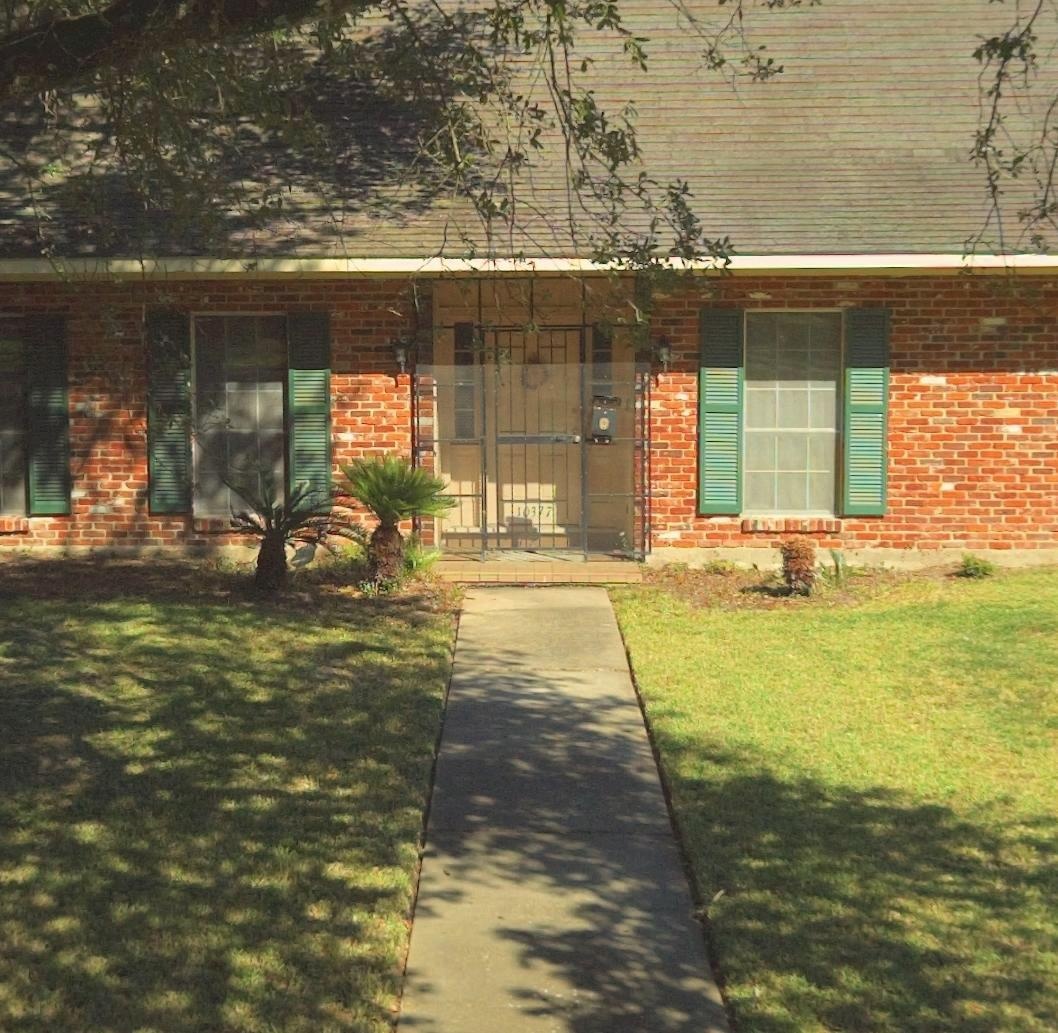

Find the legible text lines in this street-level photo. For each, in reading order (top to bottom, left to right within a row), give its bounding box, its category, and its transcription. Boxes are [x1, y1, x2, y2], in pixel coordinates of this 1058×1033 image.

[515, 504, 554, 520] StreetNumber: 10327